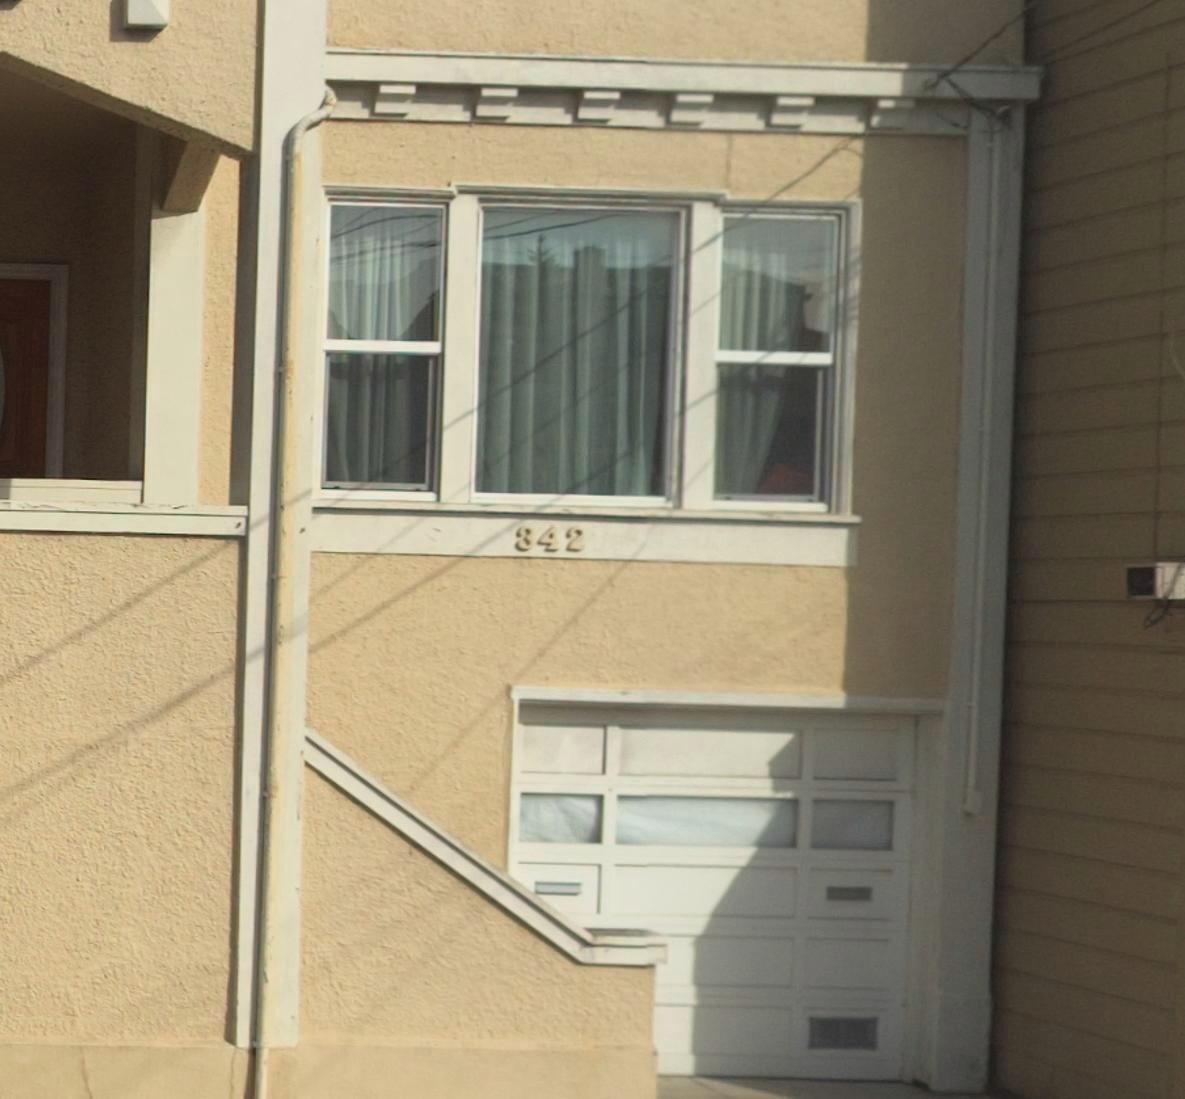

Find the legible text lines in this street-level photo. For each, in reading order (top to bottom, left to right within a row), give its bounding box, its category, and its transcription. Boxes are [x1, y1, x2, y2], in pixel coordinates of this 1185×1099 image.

[514, 523, 586, 553] StreetNumber: 342